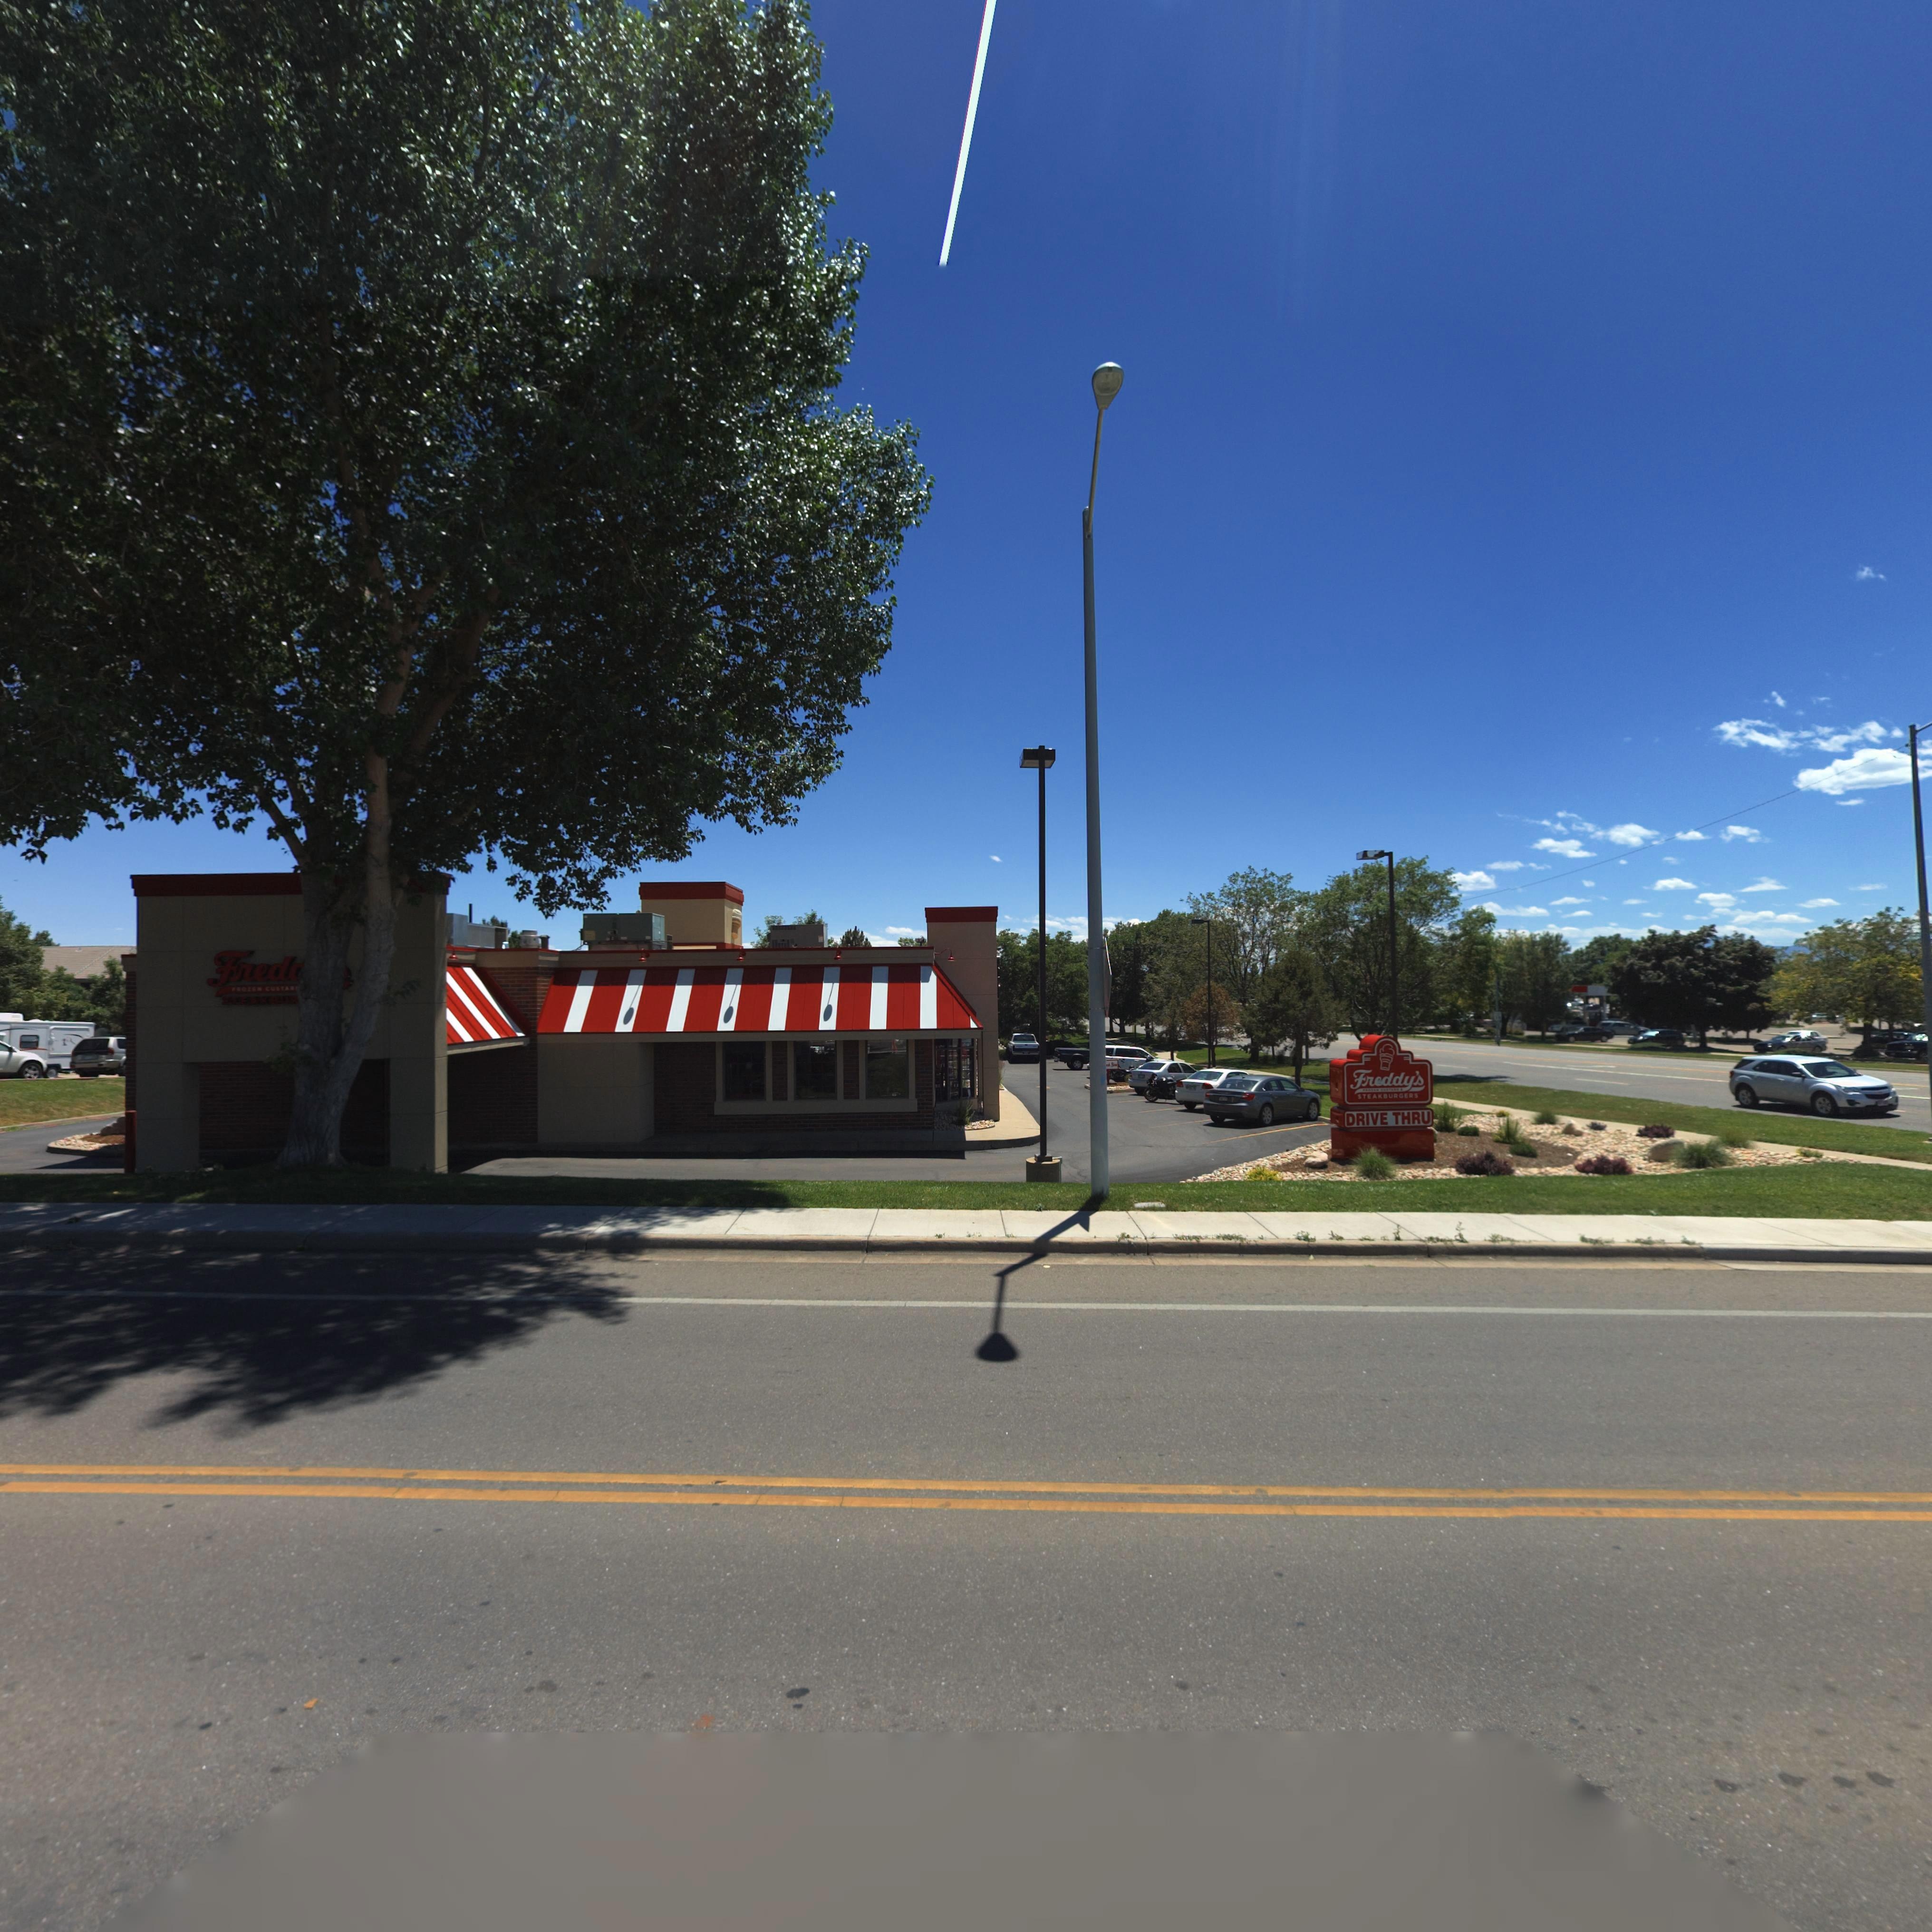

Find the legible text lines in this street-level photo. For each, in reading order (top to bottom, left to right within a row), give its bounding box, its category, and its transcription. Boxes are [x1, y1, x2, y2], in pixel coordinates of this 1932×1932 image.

[204, 949, 298, 988] BusinessName: Fred
[230, 985, 295, 993] BusinessName: FROZEN CUSTAR
[1349, 1069, 1424, 1092] BusinessName: Freddy's
[1357, 1092, 1418, 1099] BusinessName: STEAKBURGERS